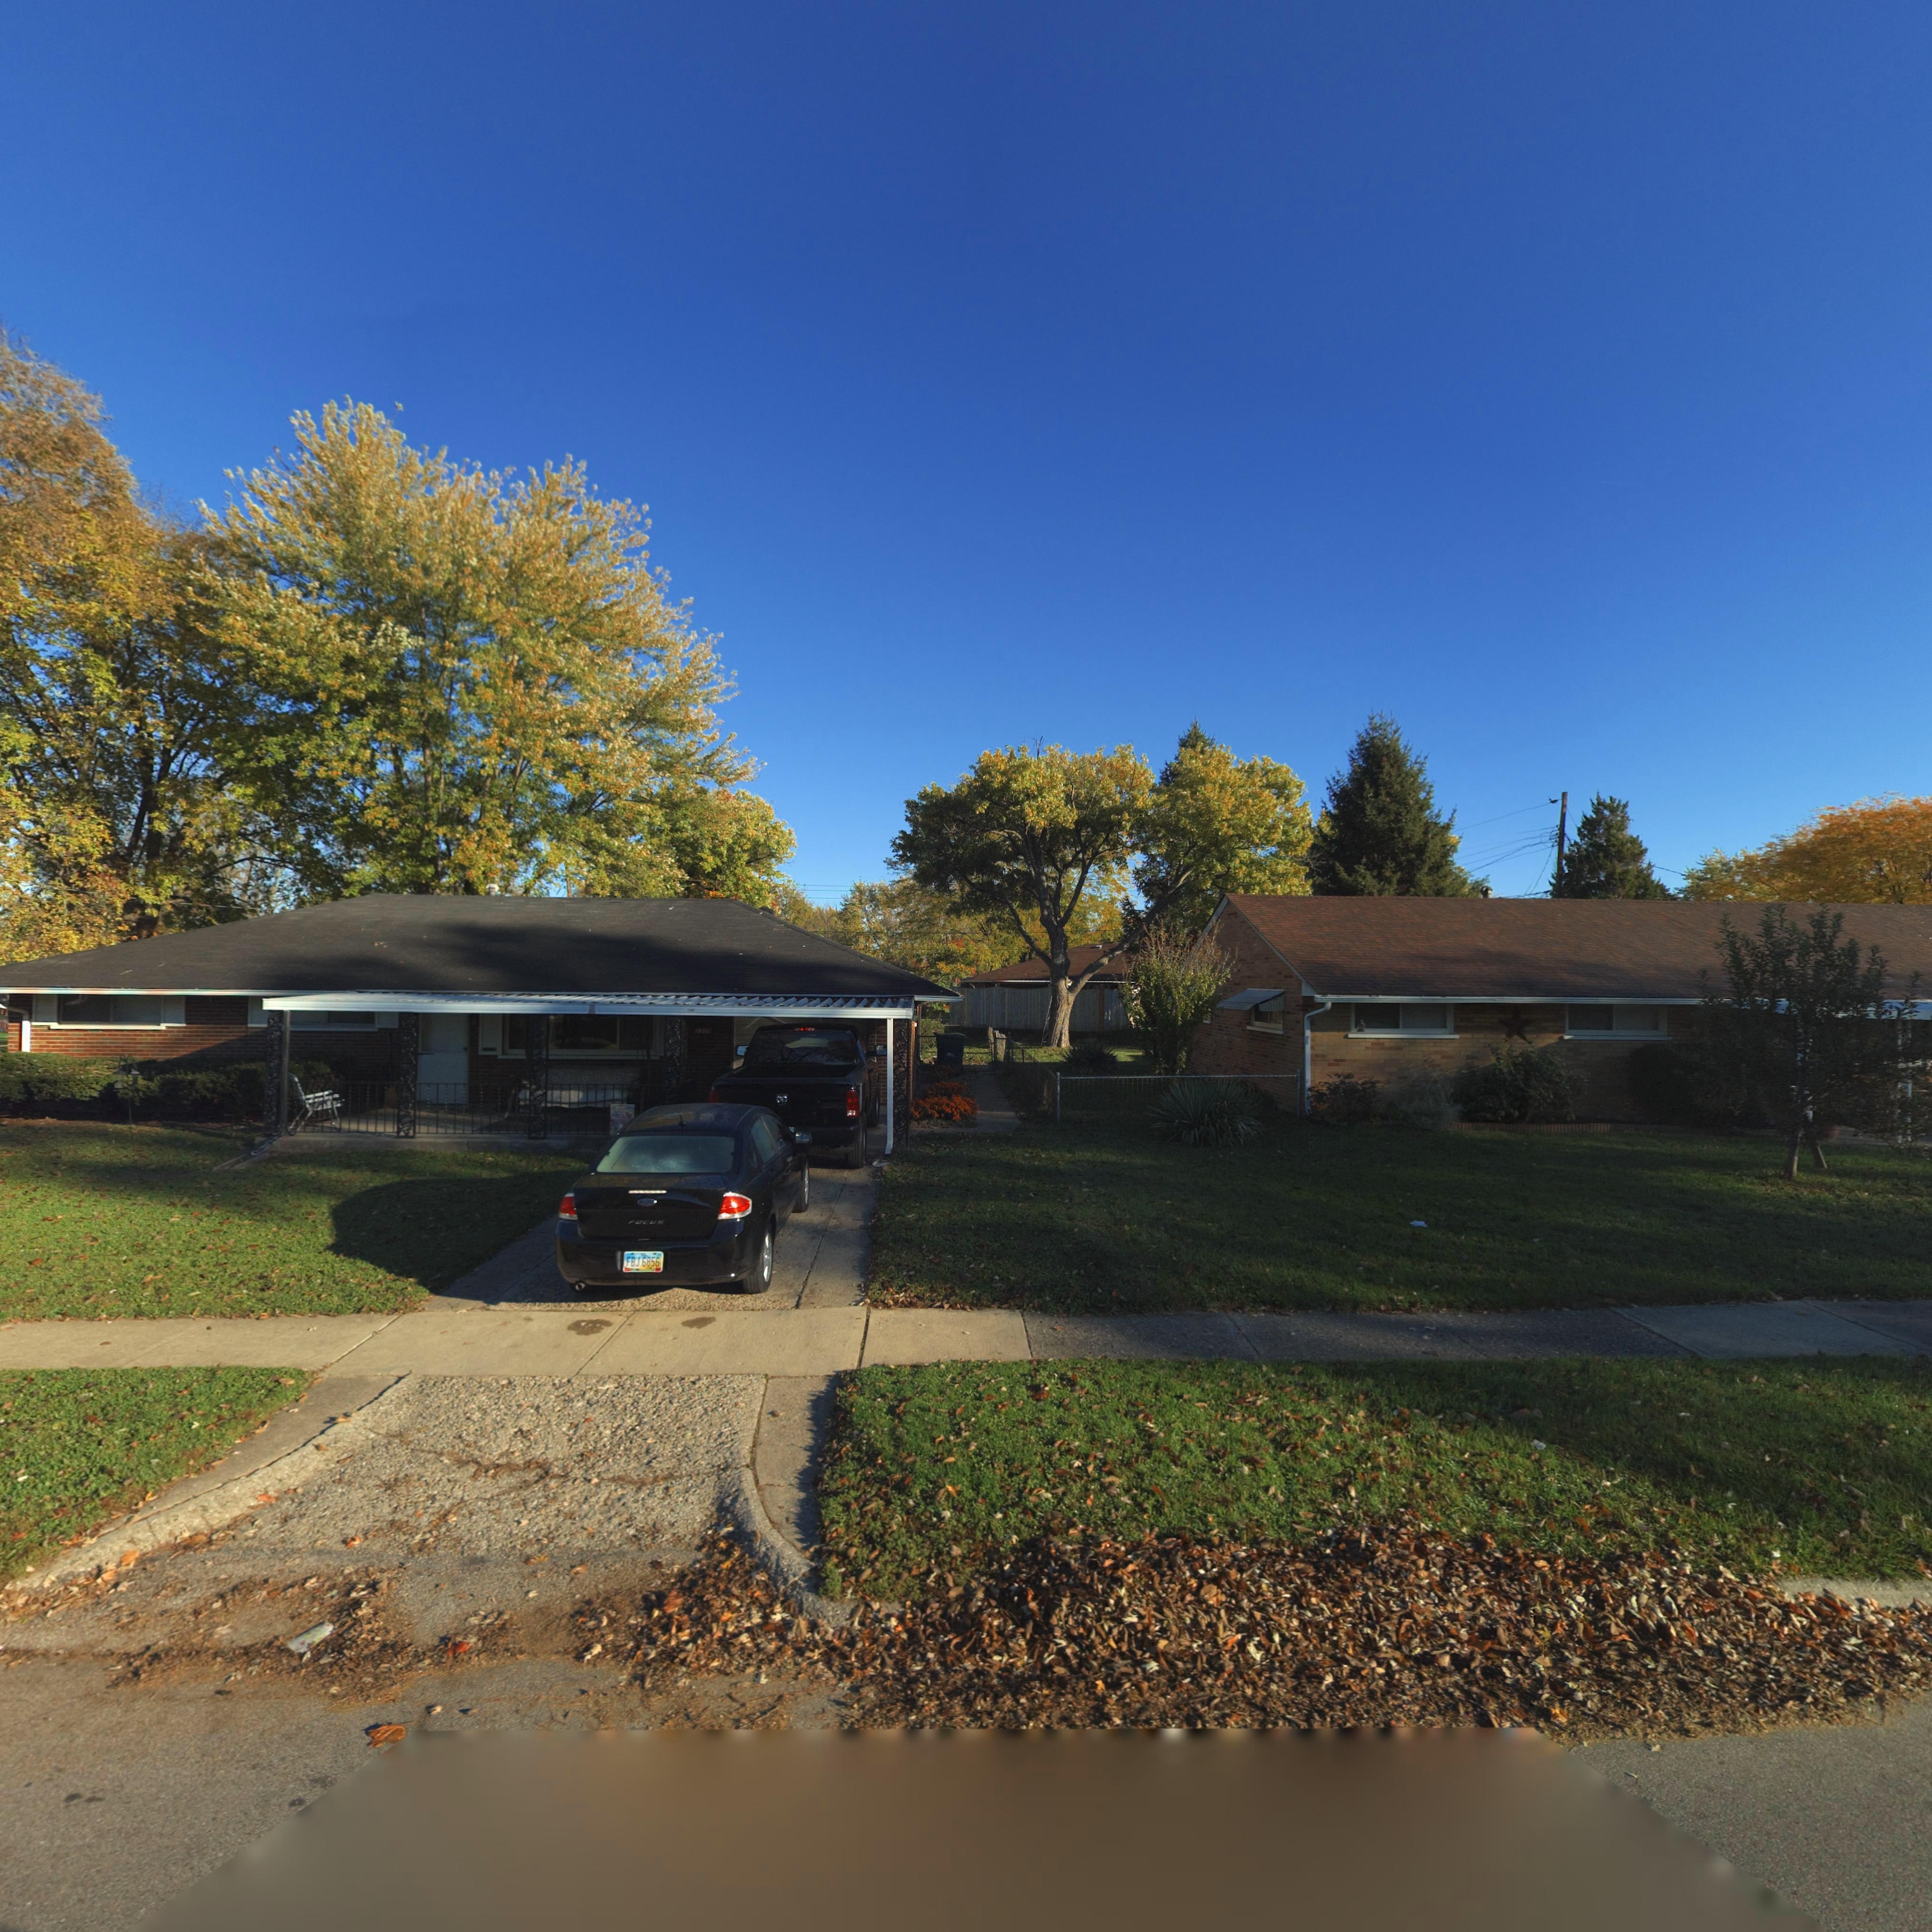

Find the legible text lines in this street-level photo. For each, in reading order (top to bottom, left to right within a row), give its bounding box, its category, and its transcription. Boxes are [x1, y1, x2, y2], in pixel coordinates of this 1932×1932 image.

[695, 1028, 712, 1034] StreetNumber: **09